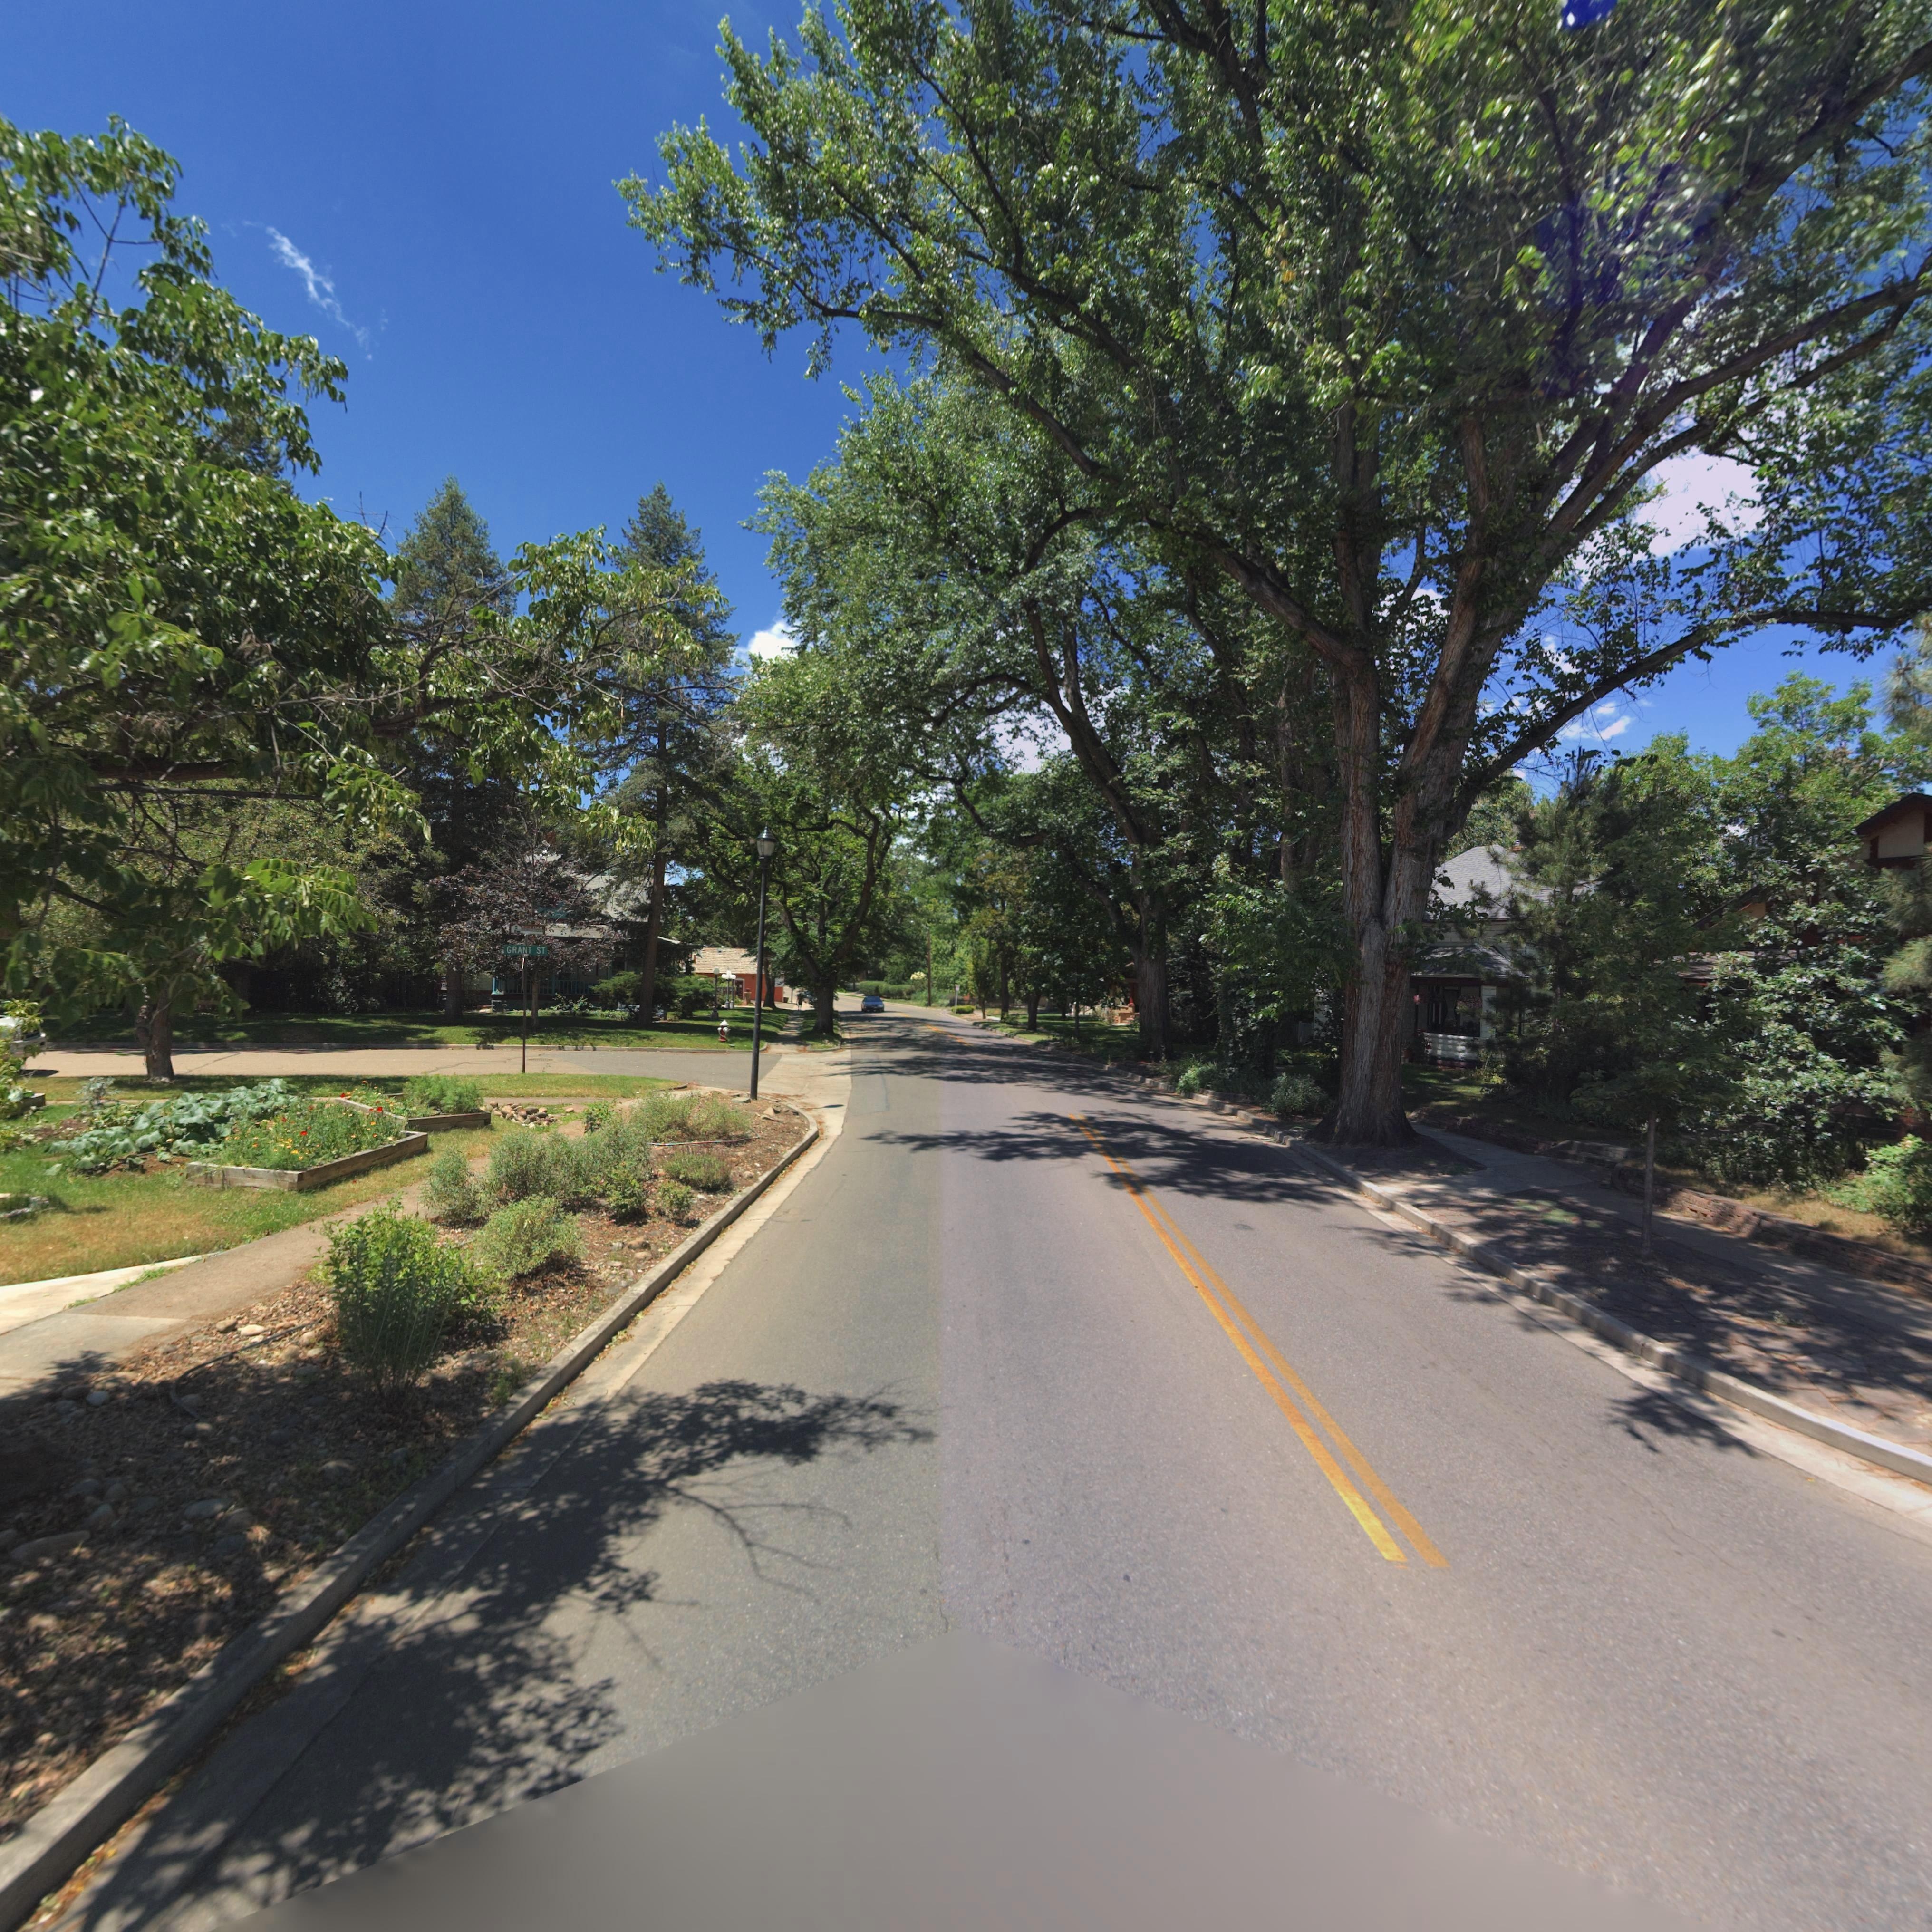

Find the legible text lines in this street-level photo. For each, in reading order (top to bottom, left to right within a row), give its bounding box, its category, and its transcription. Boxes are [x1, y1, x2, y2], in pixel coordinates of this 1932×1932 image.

[506, 946, 545, 954] StreetName: GRANT ST